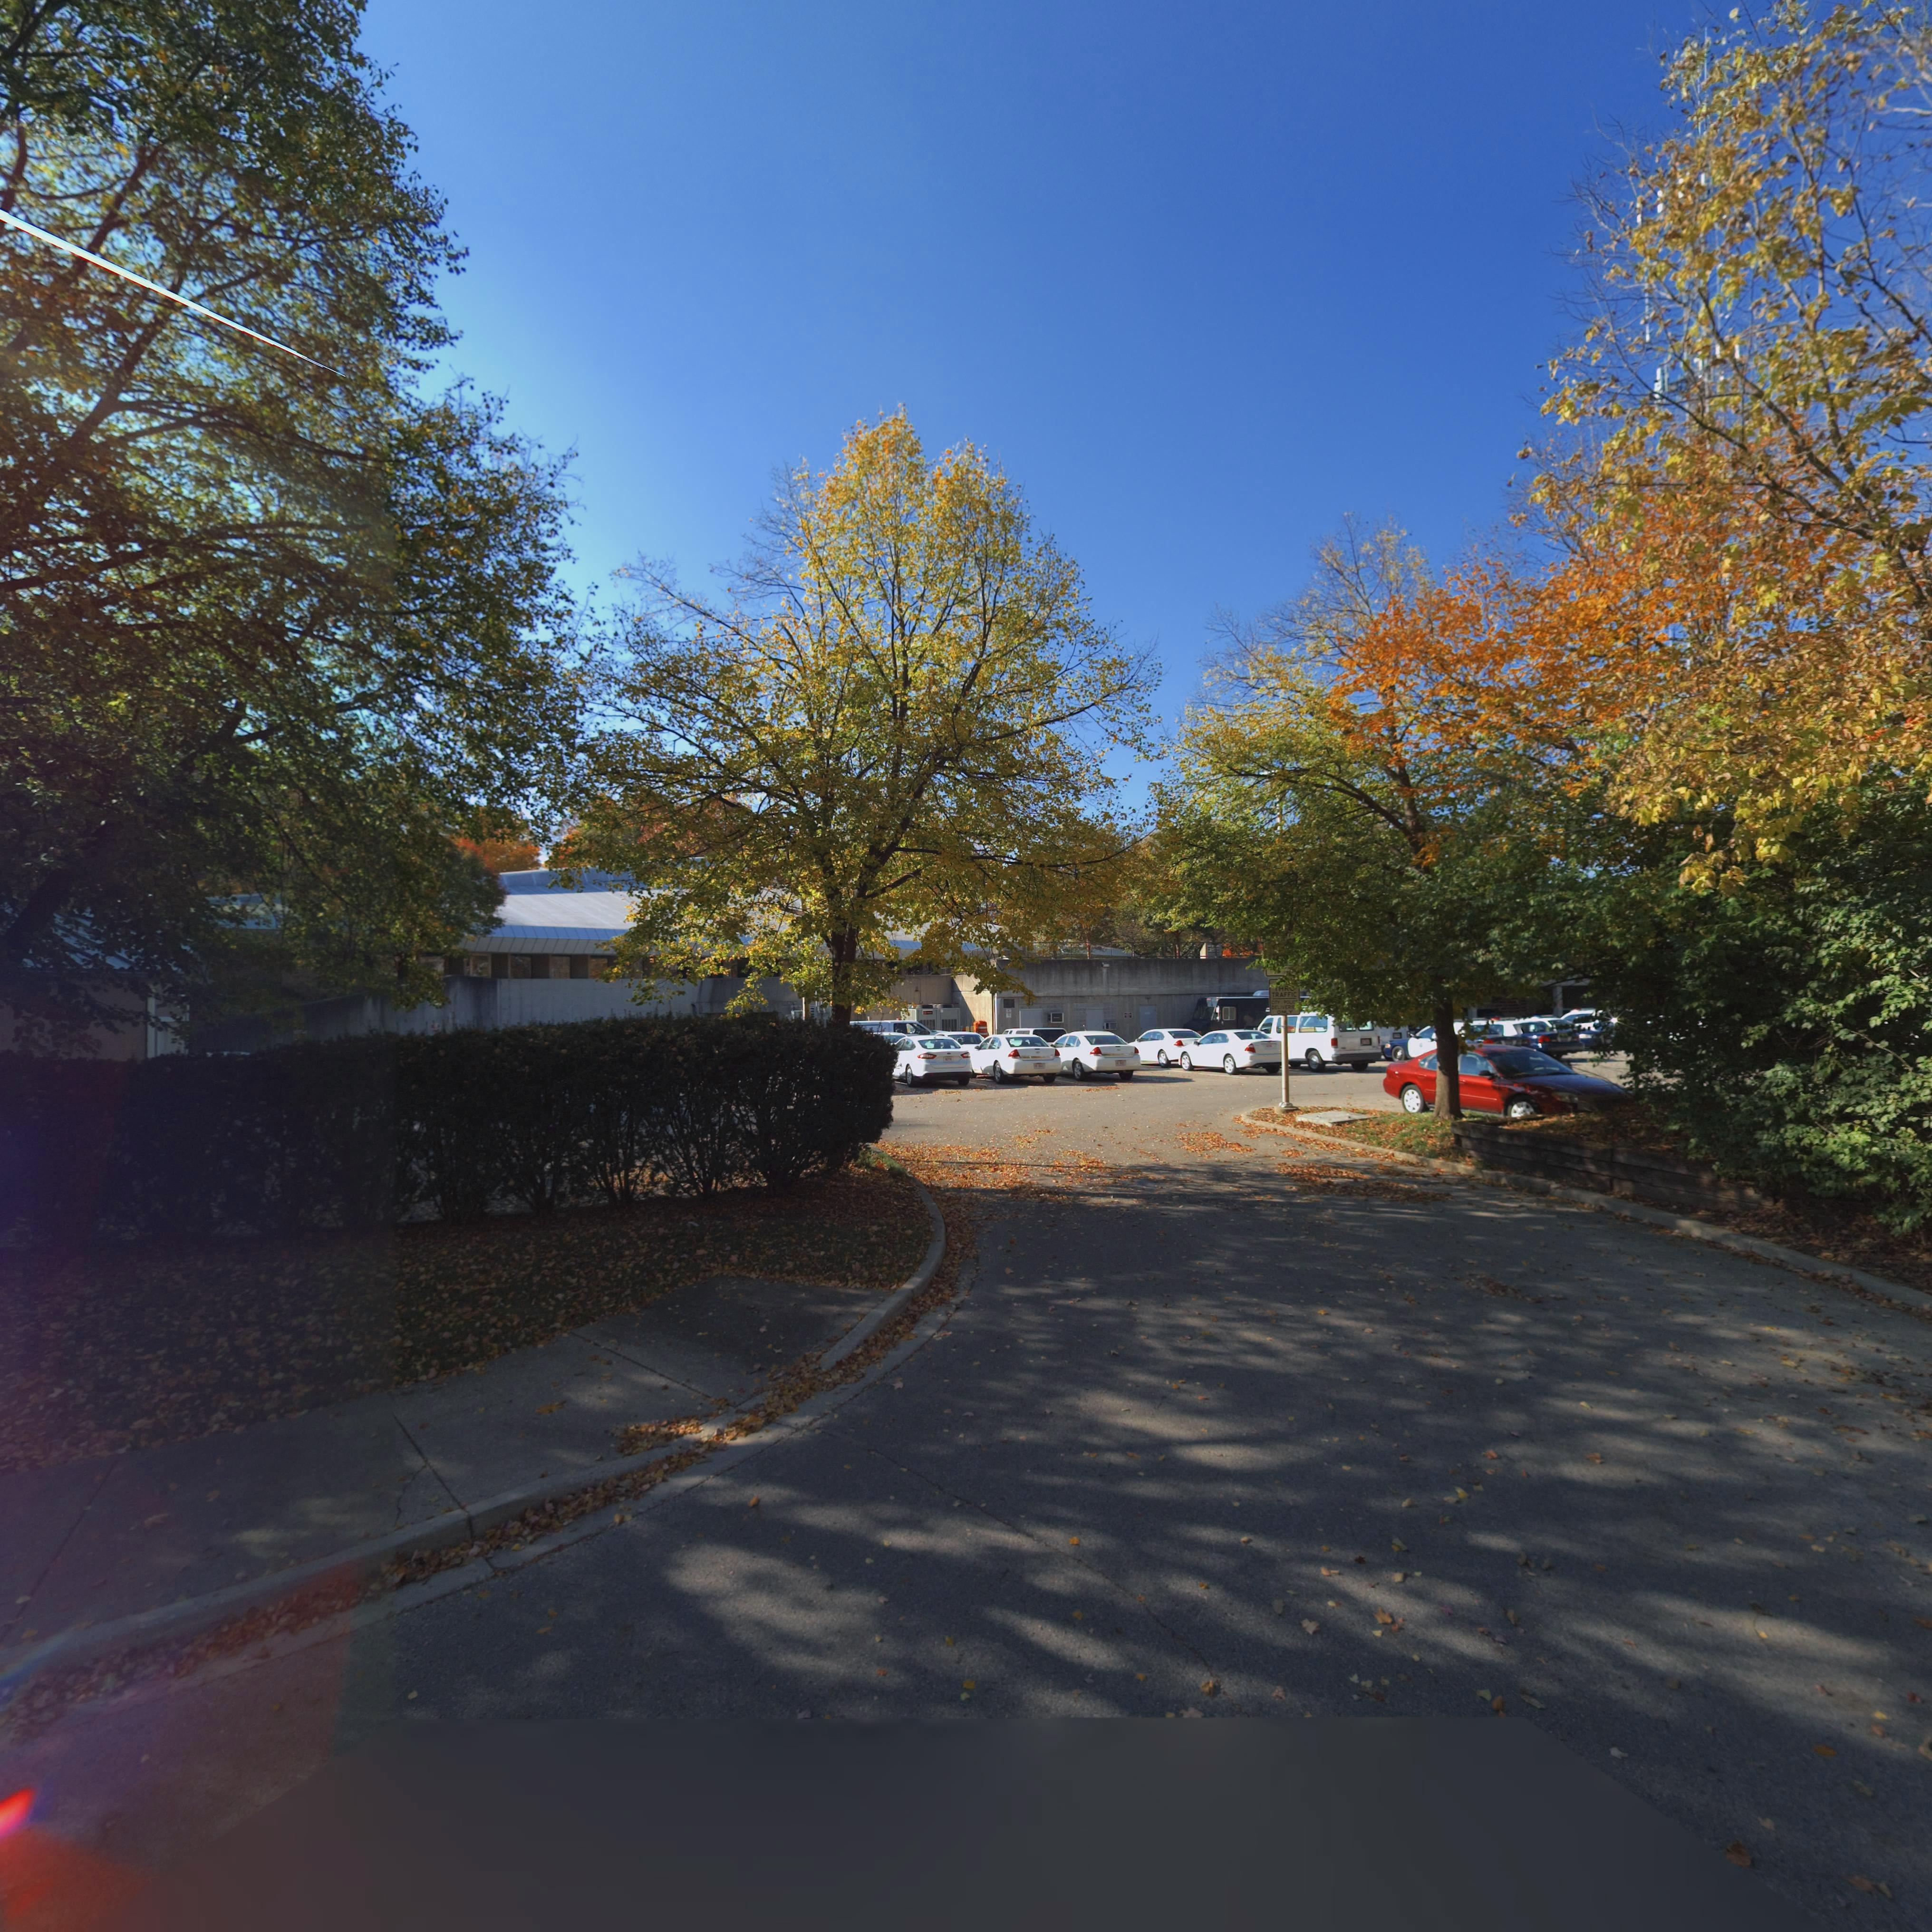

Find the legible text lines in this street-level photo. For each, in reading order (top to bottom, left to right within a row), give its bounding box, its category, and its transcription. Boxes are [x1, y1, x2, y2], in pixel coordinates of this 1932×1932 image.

[1277, 985, 1290, 992] None: HR
[1271, 992, 1297, 998] None: TRAFFIC
[1271, 999, 1296, 1005] None: CITY / POLIC
[1271, 1005, 1292, 1010] None: DELIVER
[1276, 1009, 1294, 1014] None: ONLY